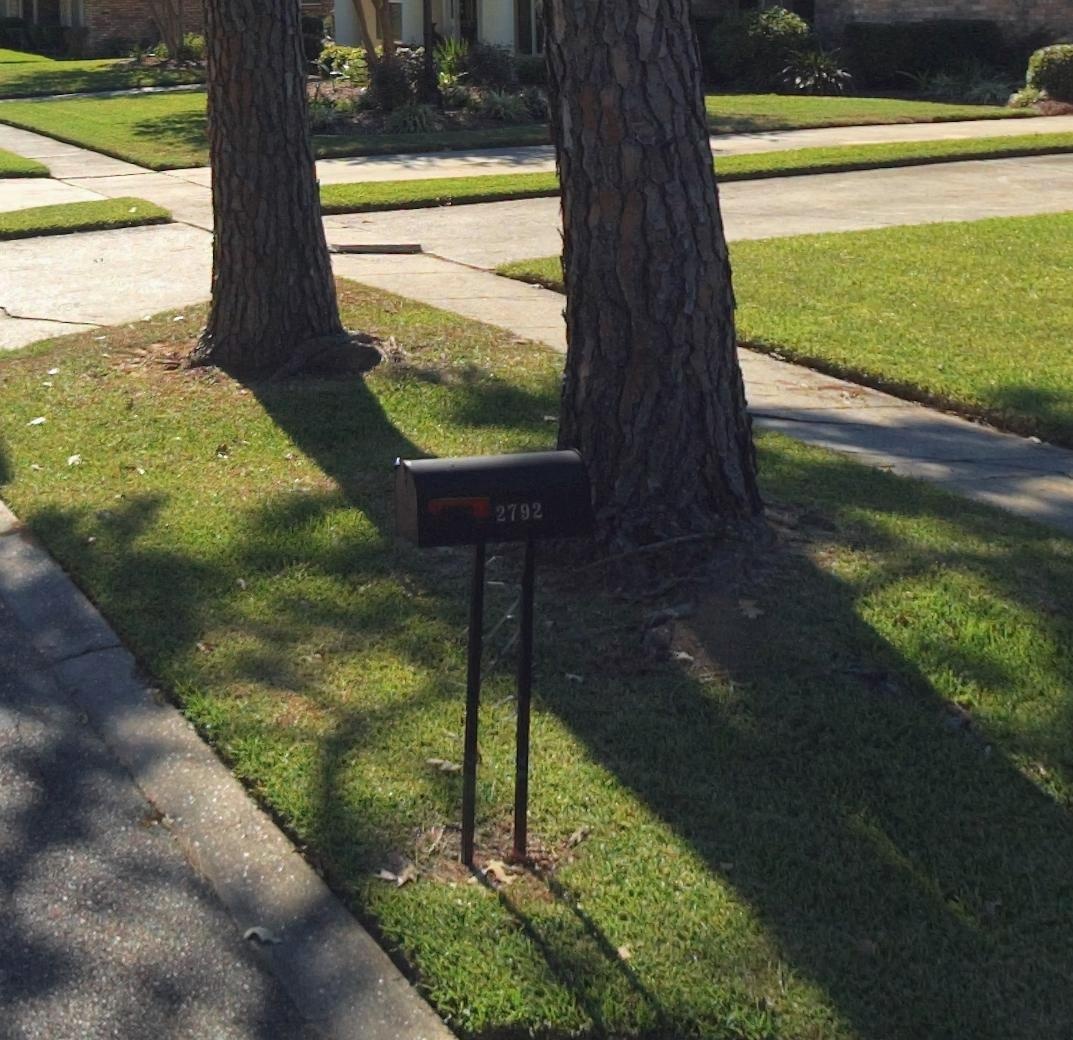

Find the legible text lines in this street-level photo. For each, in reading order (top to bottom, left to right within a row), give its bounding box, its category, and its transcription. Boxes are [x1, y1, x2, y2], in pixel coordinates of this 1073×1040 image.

[493, 499, 545, 525] StreetNumber: 2792